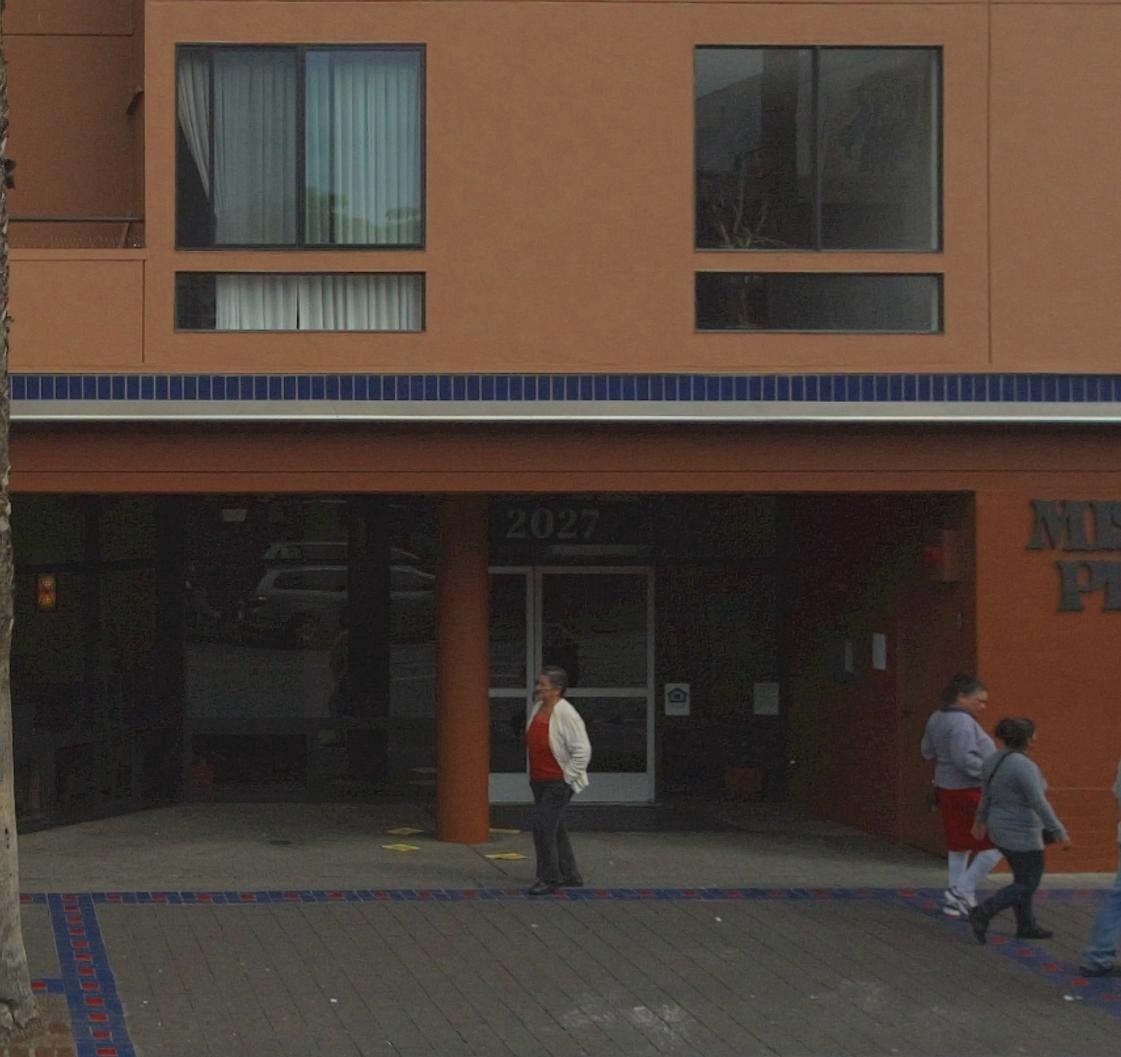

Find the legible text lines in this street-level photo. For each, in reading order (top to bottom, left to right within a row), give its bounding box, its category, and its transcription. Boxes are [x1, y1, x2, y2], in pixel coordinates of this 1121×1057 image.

[503, 507, 602, 541] StreetNumber: 2027
[1021, 497, 1093, 554] BusinessName: M
[1053, 558, 1110, 614] BusinessName: P